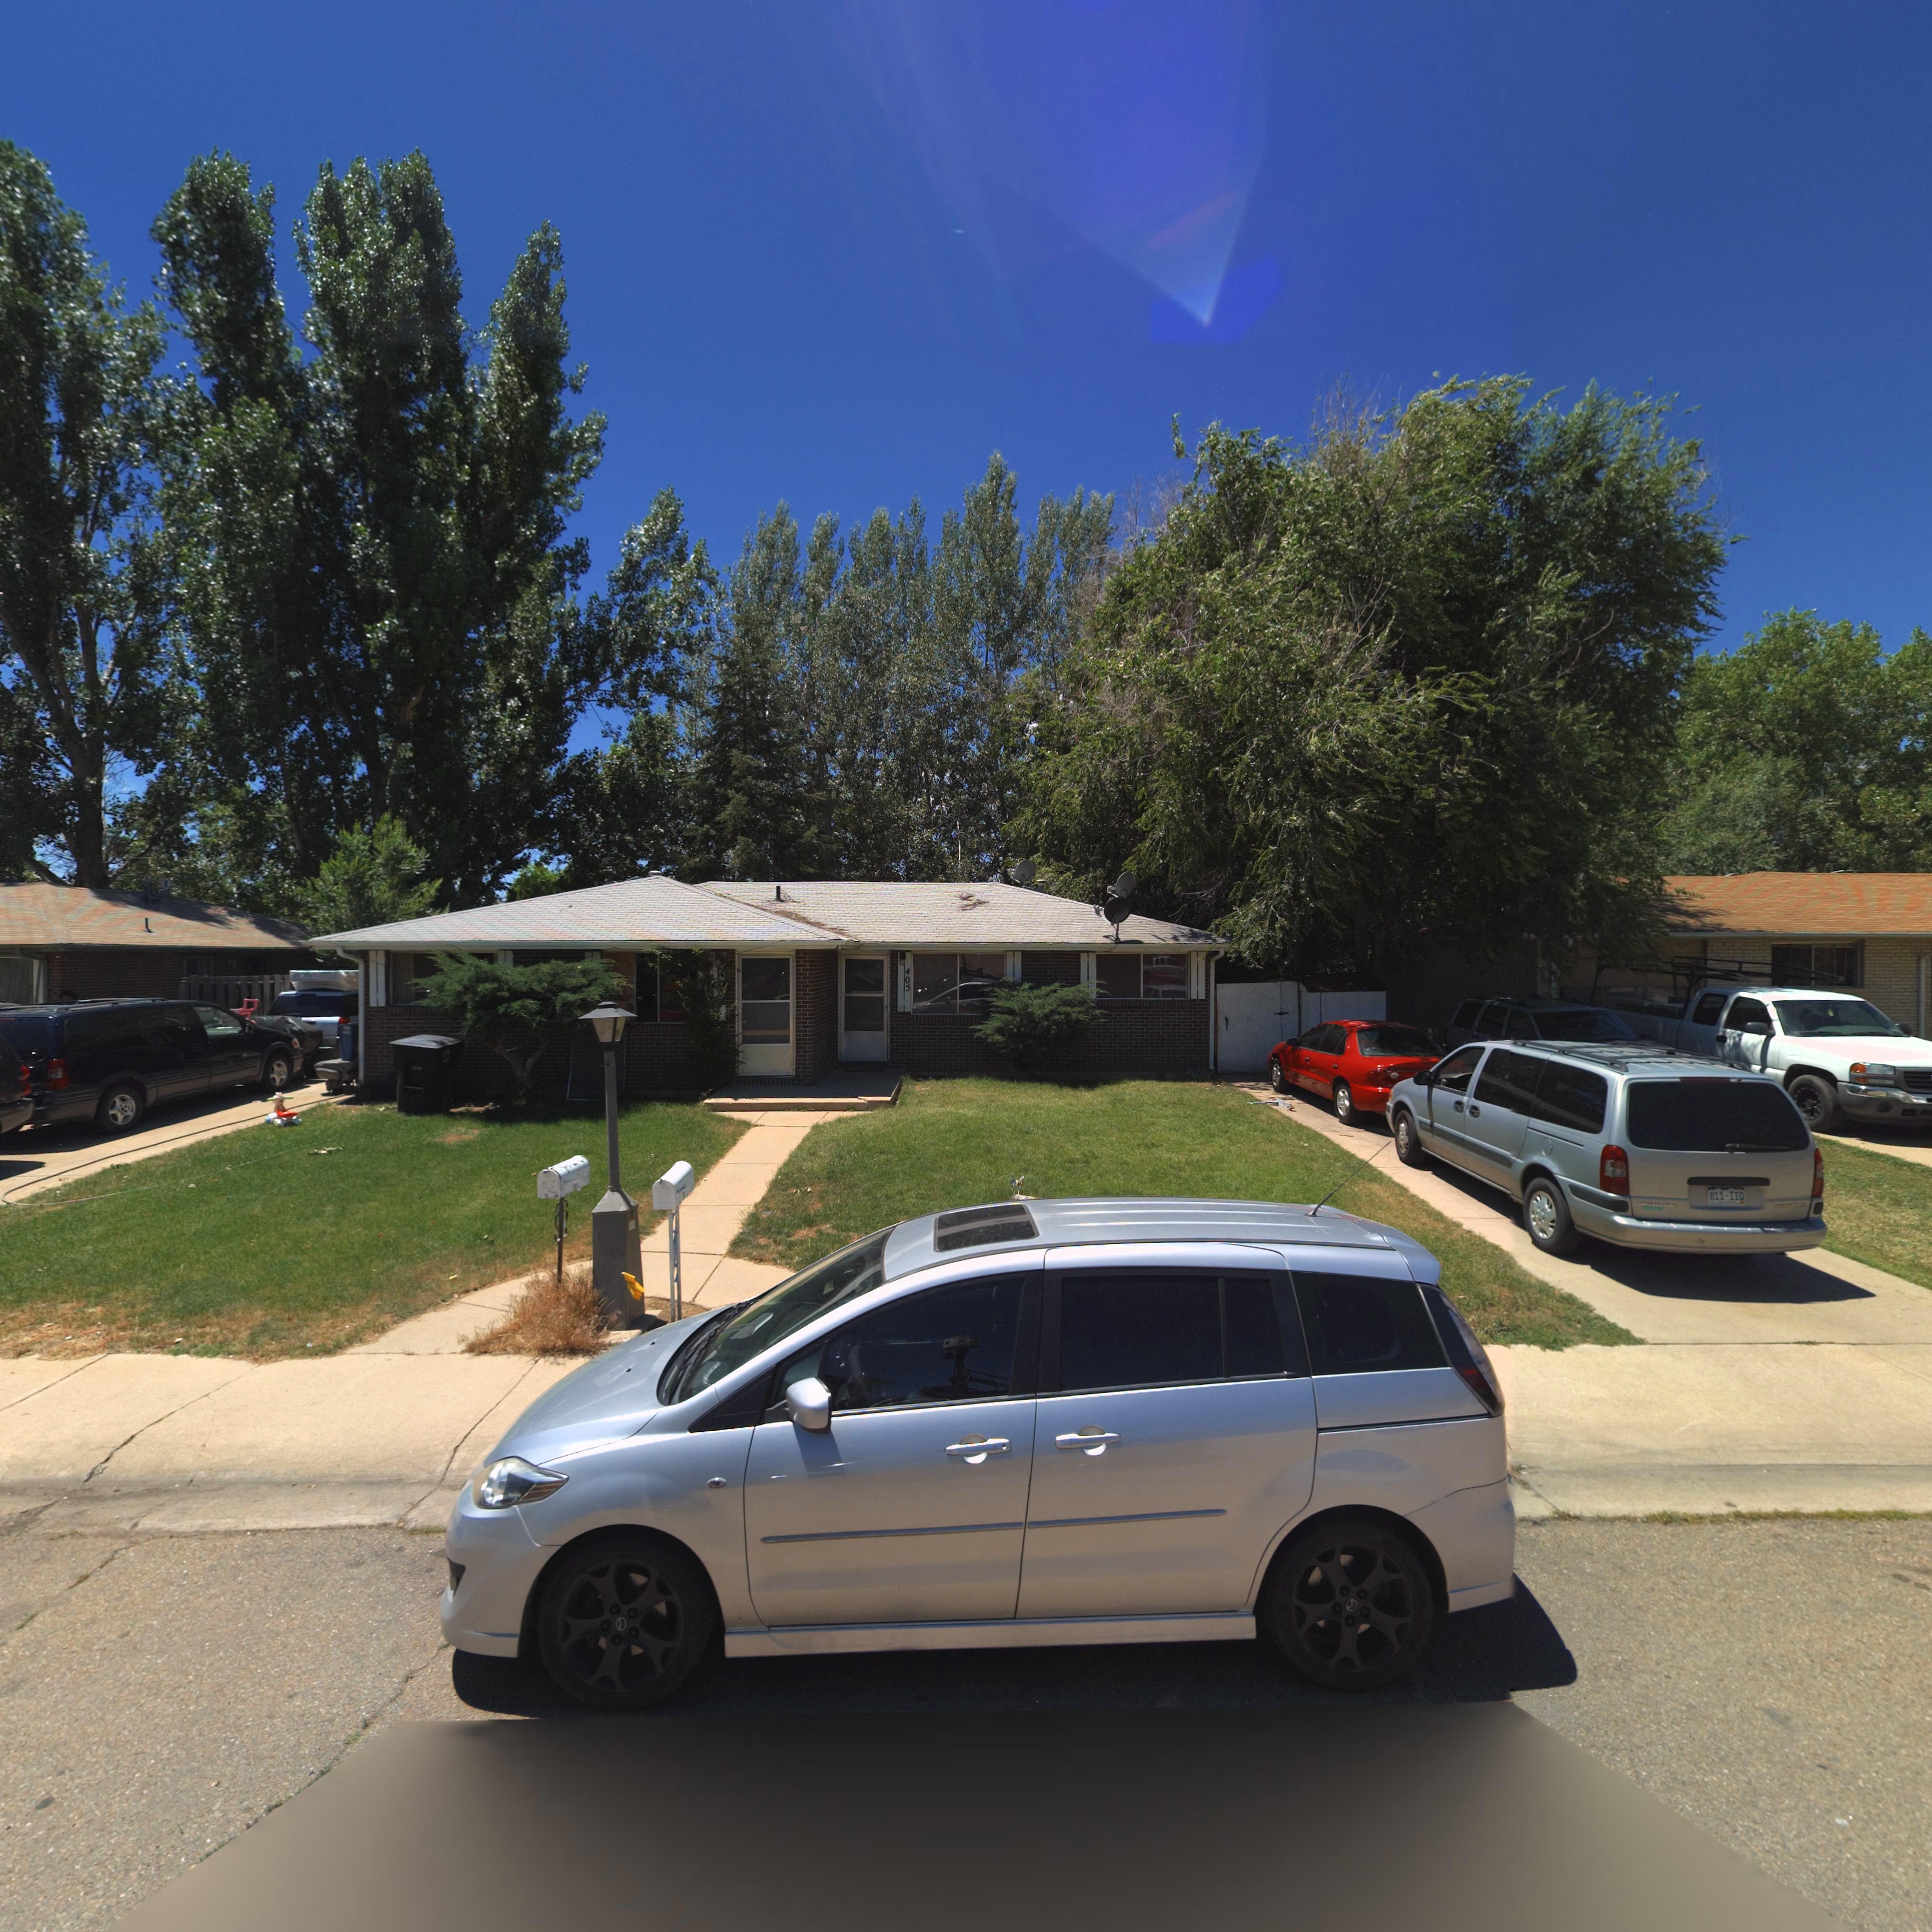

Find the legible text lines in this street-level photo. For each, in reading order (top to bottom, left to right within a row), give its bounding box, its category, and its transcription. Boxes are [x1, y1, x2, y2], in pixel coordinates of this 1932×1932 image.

[718, 968, 724, 978] StreetNumber: 4
[905, 967, 910, 992] StreetNumber: 405